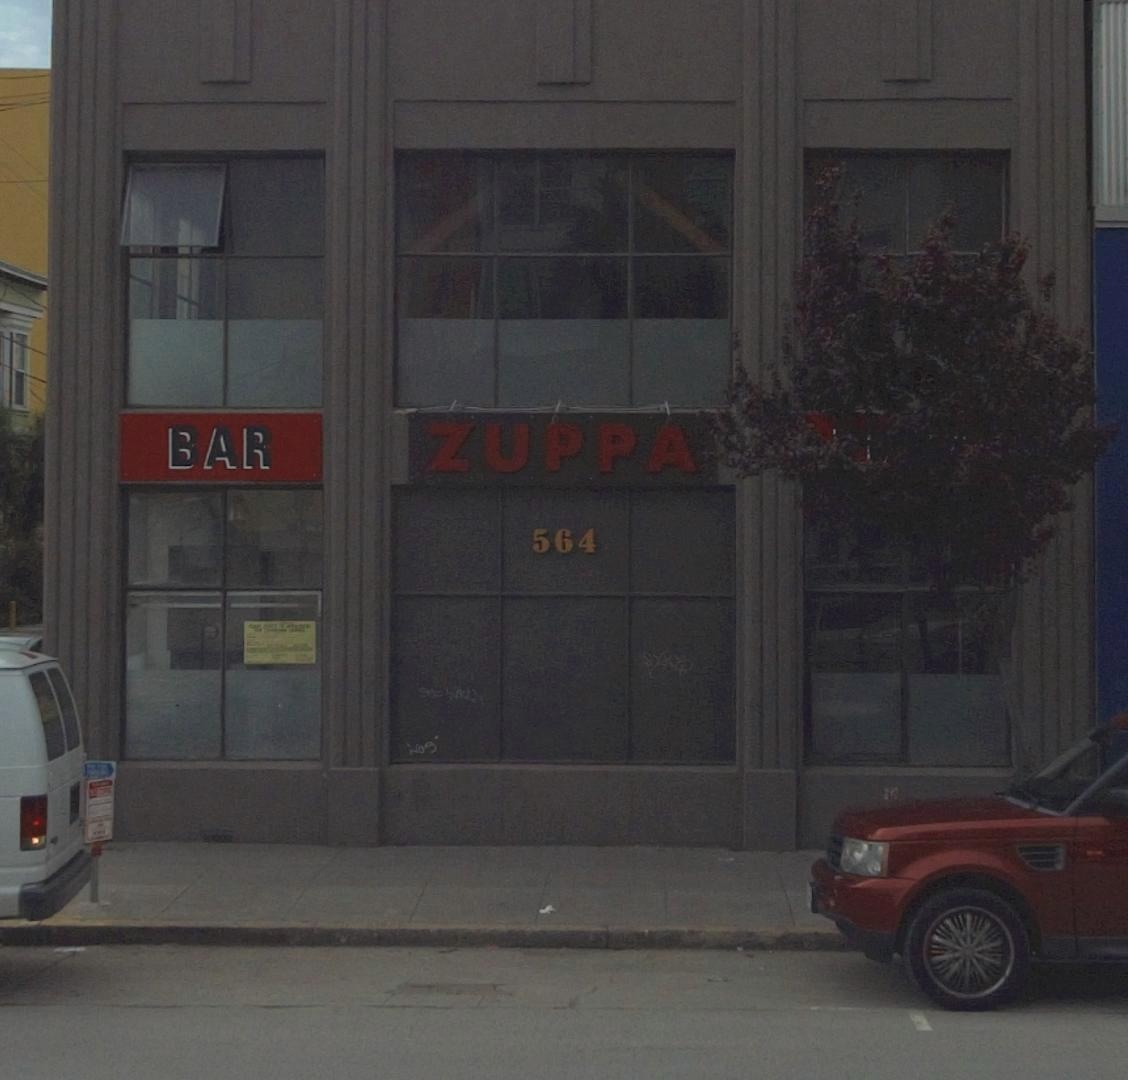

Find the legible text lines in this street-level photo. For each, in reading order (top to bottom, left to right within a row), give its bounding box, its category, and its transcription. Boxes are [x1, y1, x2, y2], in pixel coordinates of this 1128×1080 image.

[165, 422, 275, 473] None: BAR
[420, 416, 700, 477] BusinessName: ZUPPA
[530, 526, 598, 555] StreetNumber: 564